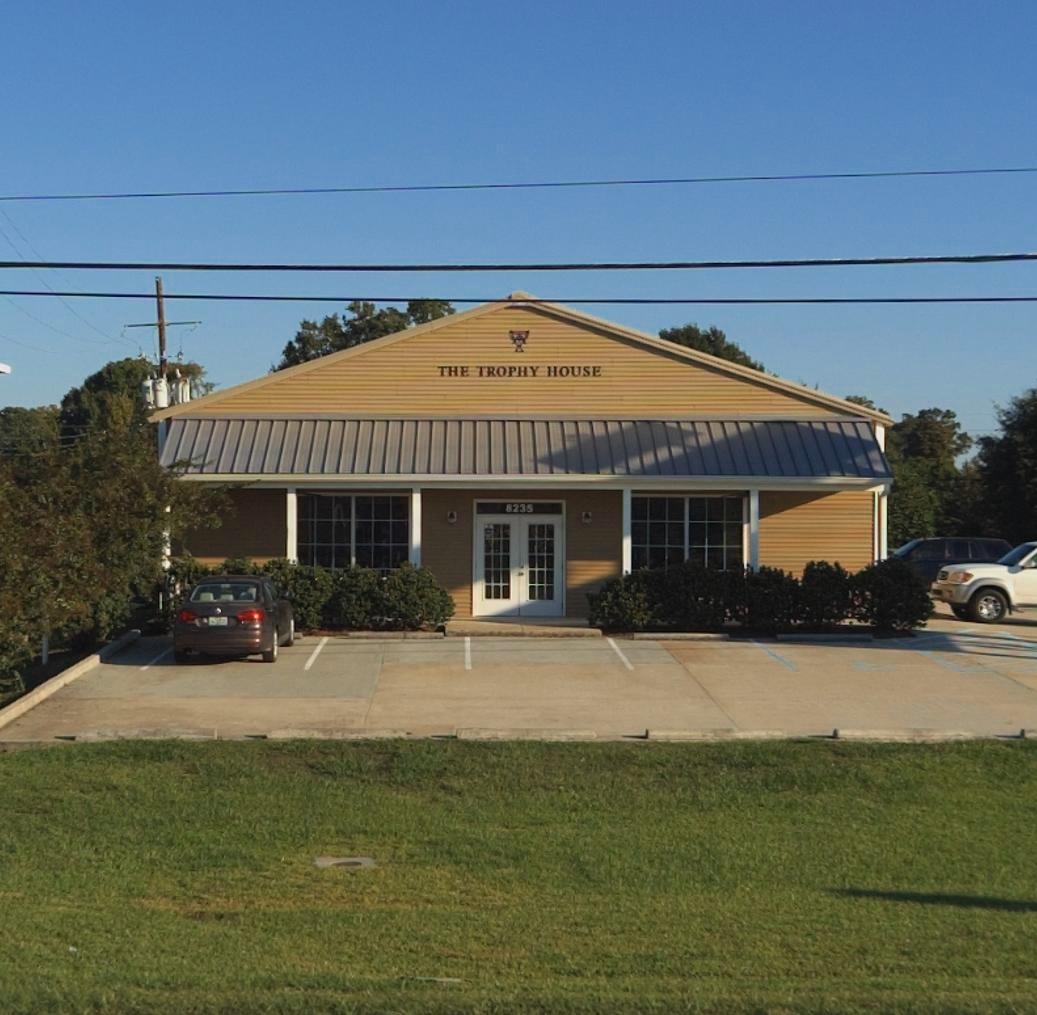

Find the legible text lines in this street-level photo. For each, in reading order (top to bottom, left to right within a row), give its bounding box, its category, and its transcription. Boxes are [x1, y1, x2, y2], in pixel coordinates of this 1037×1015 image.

[436, 364, 602, 379] BusinessName: THE TROPHY HOUSE
[504, 502, 535, 514] StreetNumber: 8235